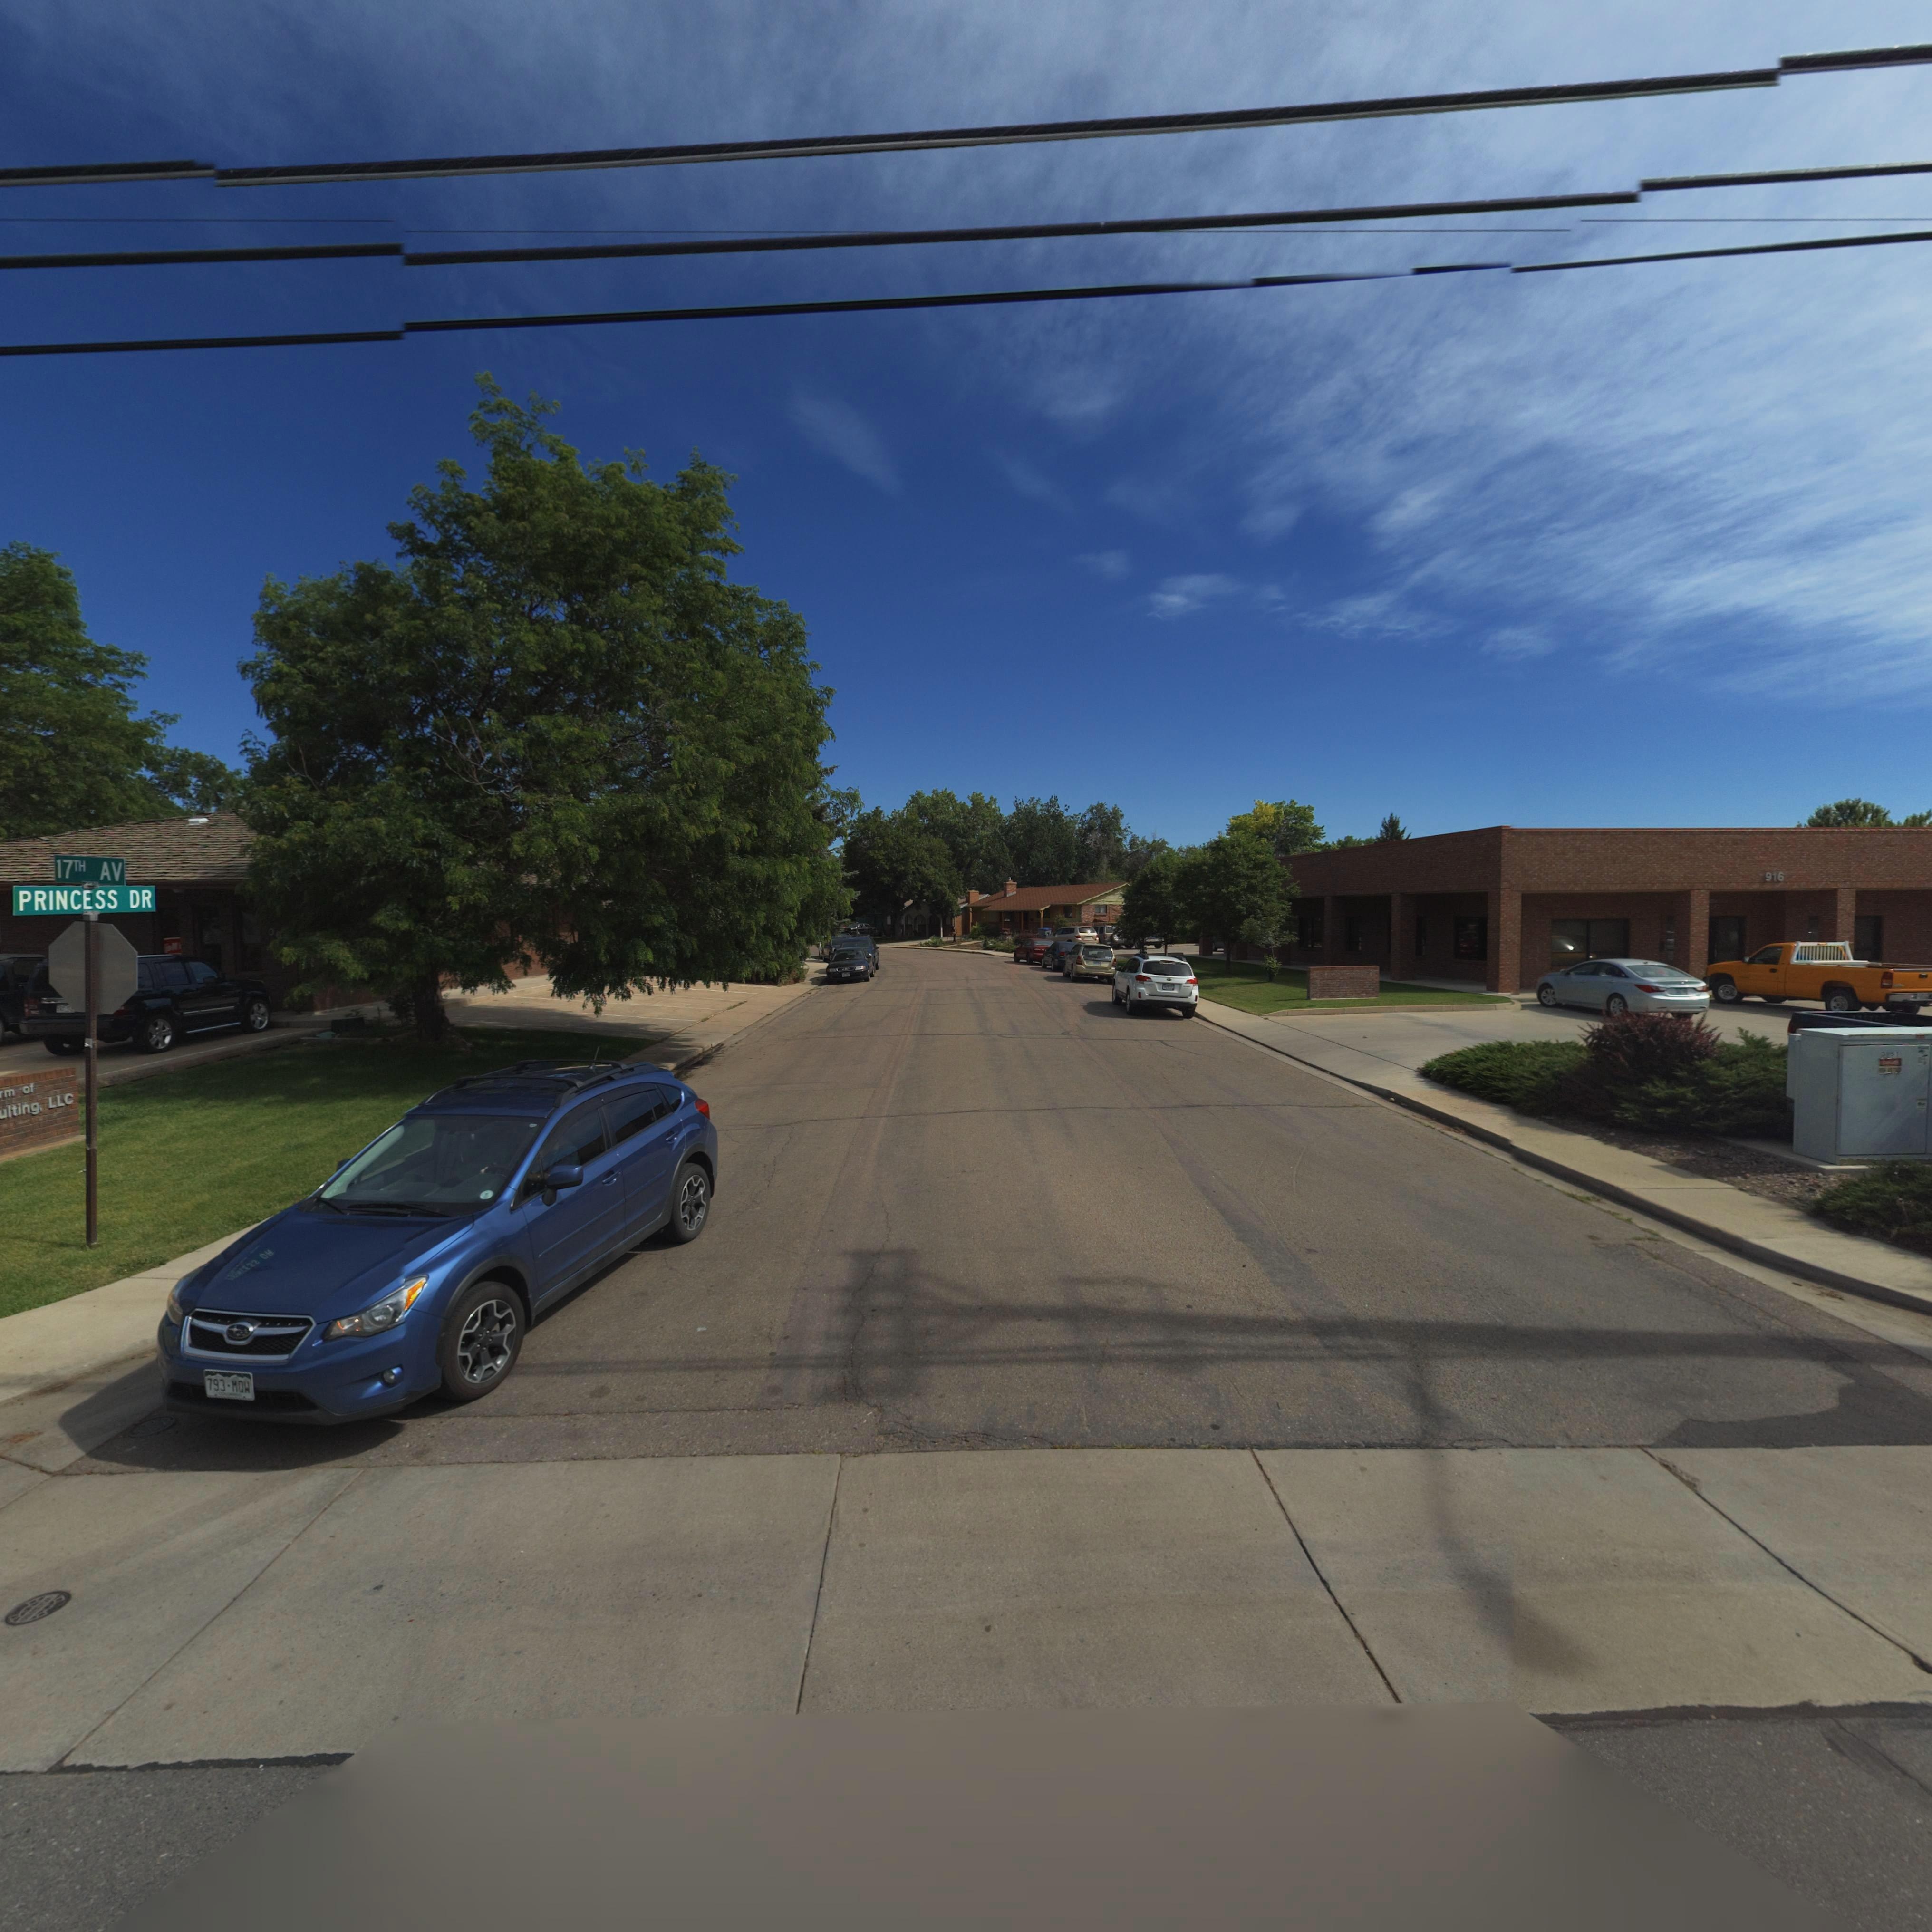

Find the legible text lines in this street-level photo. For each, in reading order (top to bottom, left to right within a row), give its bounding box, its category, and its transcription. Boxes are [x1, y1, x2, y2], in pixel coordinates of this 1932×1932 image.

[56, 858, 123, 882] StreetName: 17TH AV
[1765, 871, 1784, 882] StreetNumber: 916
[18, 889, 152, 912] StreetName: PRINCESS DR
[4, 1082, 34, 1098] BusinessName: m of
[7, 1092, 74, 1118] BusinessName: lting, LLC